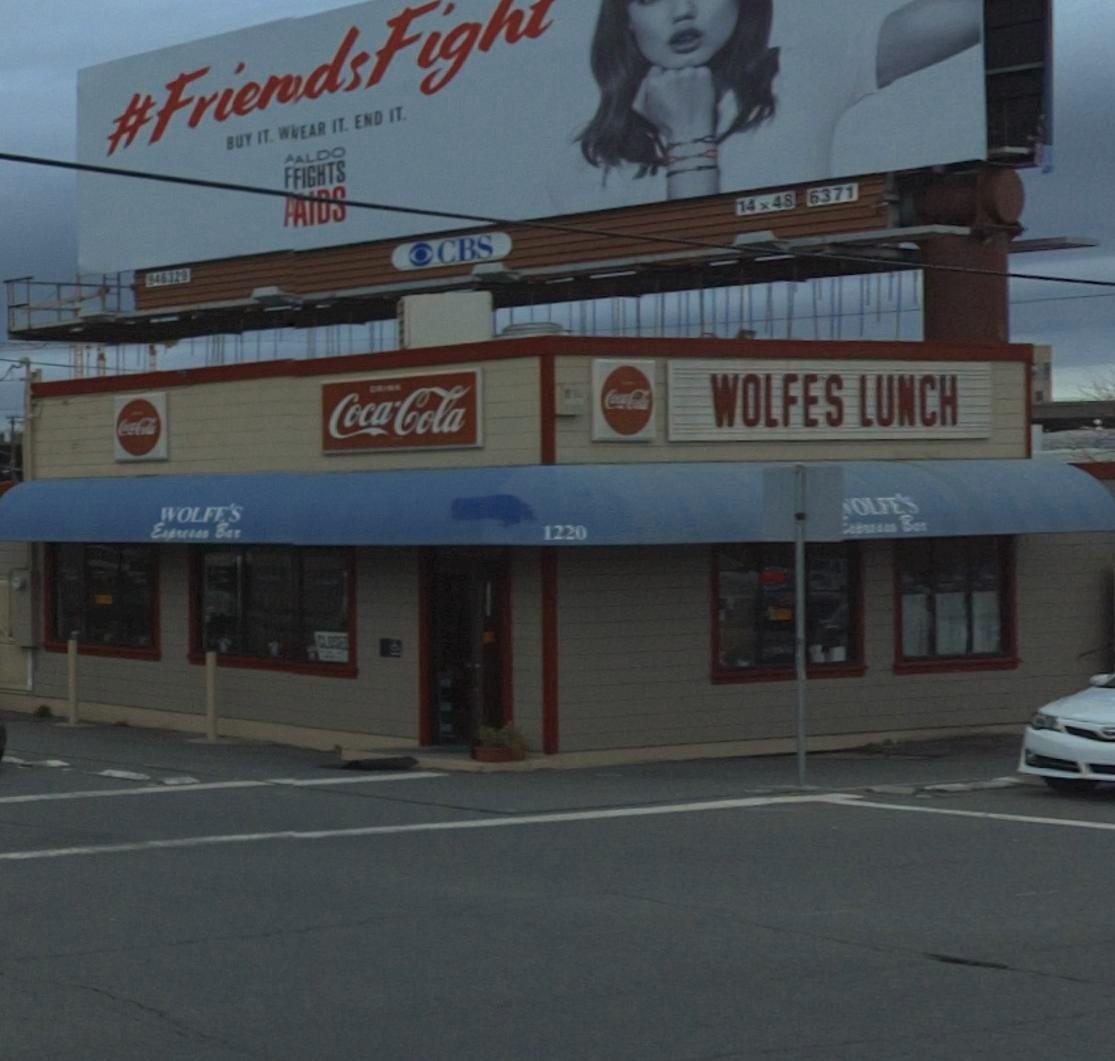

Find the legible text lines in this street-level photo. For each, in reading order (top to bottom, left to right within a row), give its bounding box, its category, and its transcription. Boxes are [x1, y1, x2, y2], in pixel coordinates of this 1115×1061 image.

[96, 0, 576, 159] None: #Frie*dsFigh**
[225, 104, 408, 152] None: BUY IT. W*EAR IT. END IT.
[292, 143, 348, 166] None: ALDO
[292, 158, 348, 193] None: FIGHTS
[292, 183, 349, 228] None: AIDS
[737, 193, 794, 214] None: 14X48
[808, 184, 854, 205] None: 6371
[435, 233, 494, 265] None: CBS
[148, 268, 188, 286] None: 346329
[368, 383, 402, 393] None: DRINK
[707, 370, 959, 429] BusinessName: WOLFE'S LUNCH
[160, 501, 245, 523] BusinessName: WOLFE'S
[848, 490, 923, 517] BusinessName: OLFE'S
[148, 523, 245, 542] None: Express Bar
[541, 525, 590, 541] StreetNumber: 1220
[842, 514, 928, 535] None: *xpress Bar
[318, 634, 350, 651] None: CLOSED